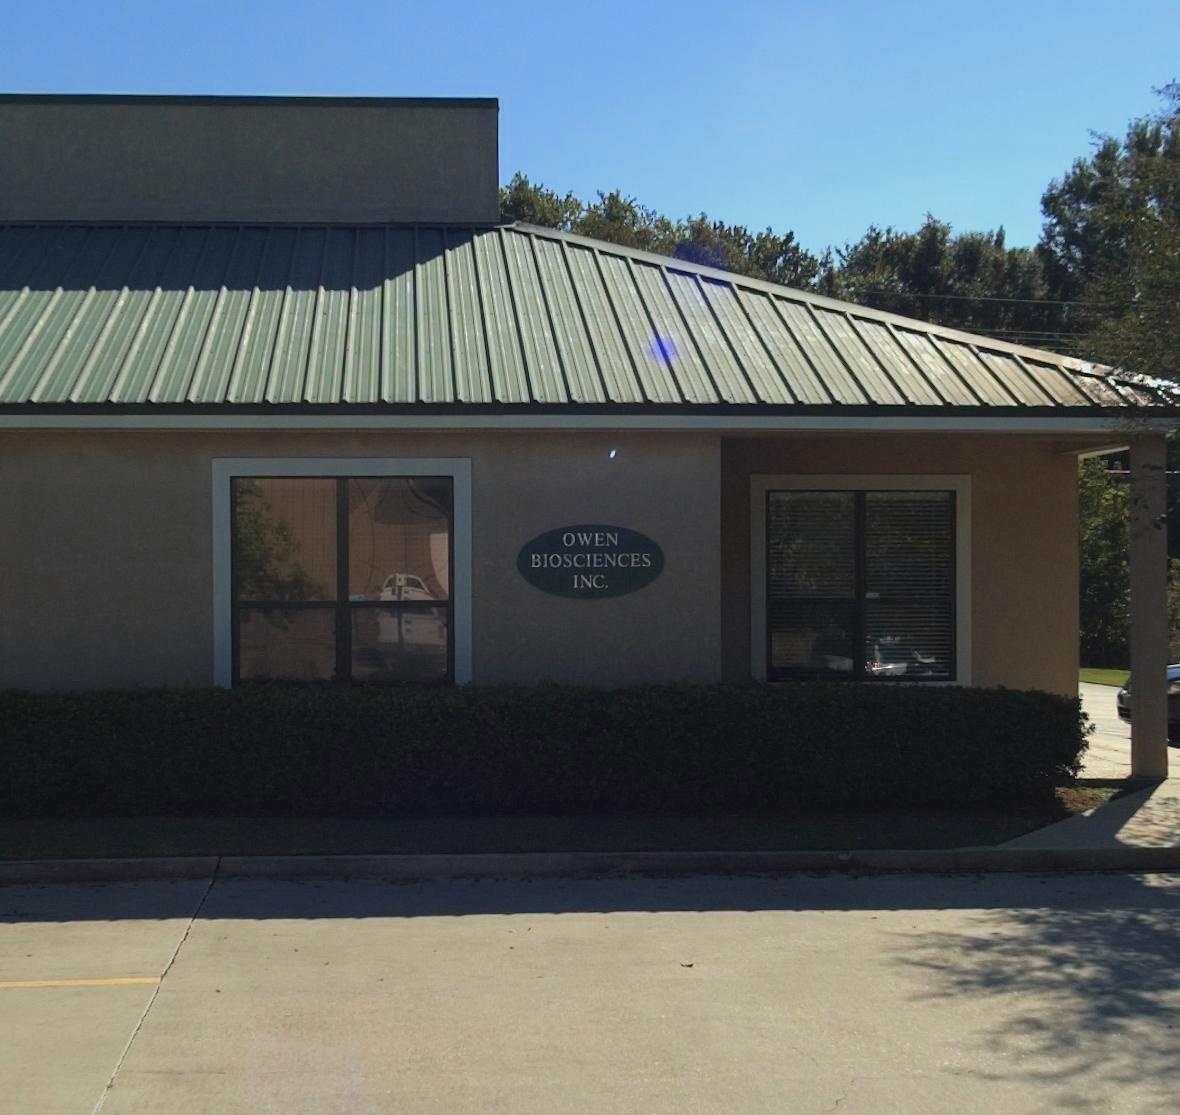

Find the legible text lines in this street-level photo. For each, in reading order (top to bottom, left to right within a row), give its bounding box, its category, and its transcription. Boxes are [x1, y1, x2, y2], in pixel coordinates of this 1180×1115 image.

[559, 529, 621, 549] BusinessName: Owen Biosciences Inc
[525, 548, 656, 572] BusinessName: BIOSCIENCES
[568, 572, 612, 592] BusinessName: INC.